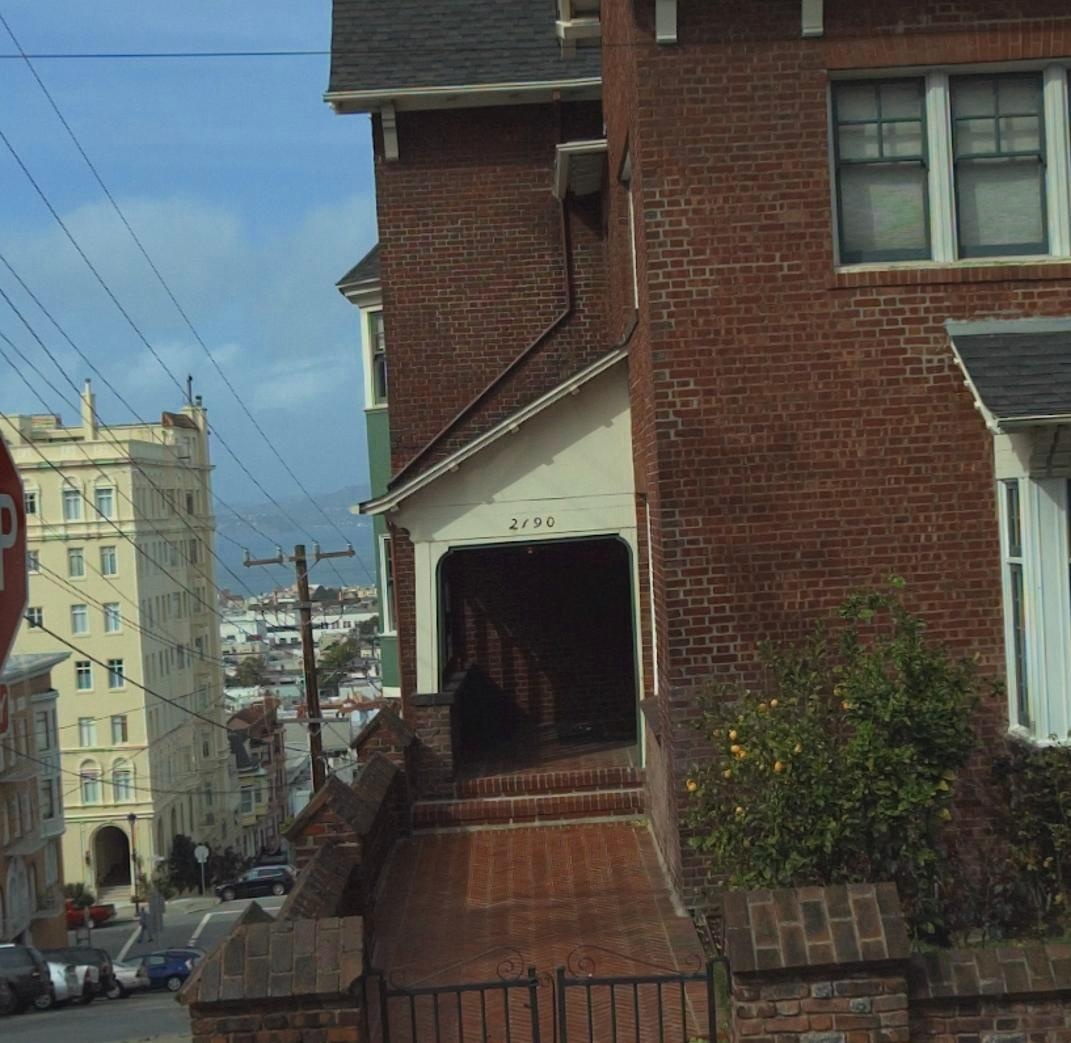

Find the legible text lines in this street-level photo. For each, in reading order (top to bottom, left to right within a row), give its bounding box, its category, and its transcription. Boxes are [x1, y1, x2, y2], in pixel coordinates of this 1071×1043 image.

[505, 513, 559, 534] StreetNumber: 2190